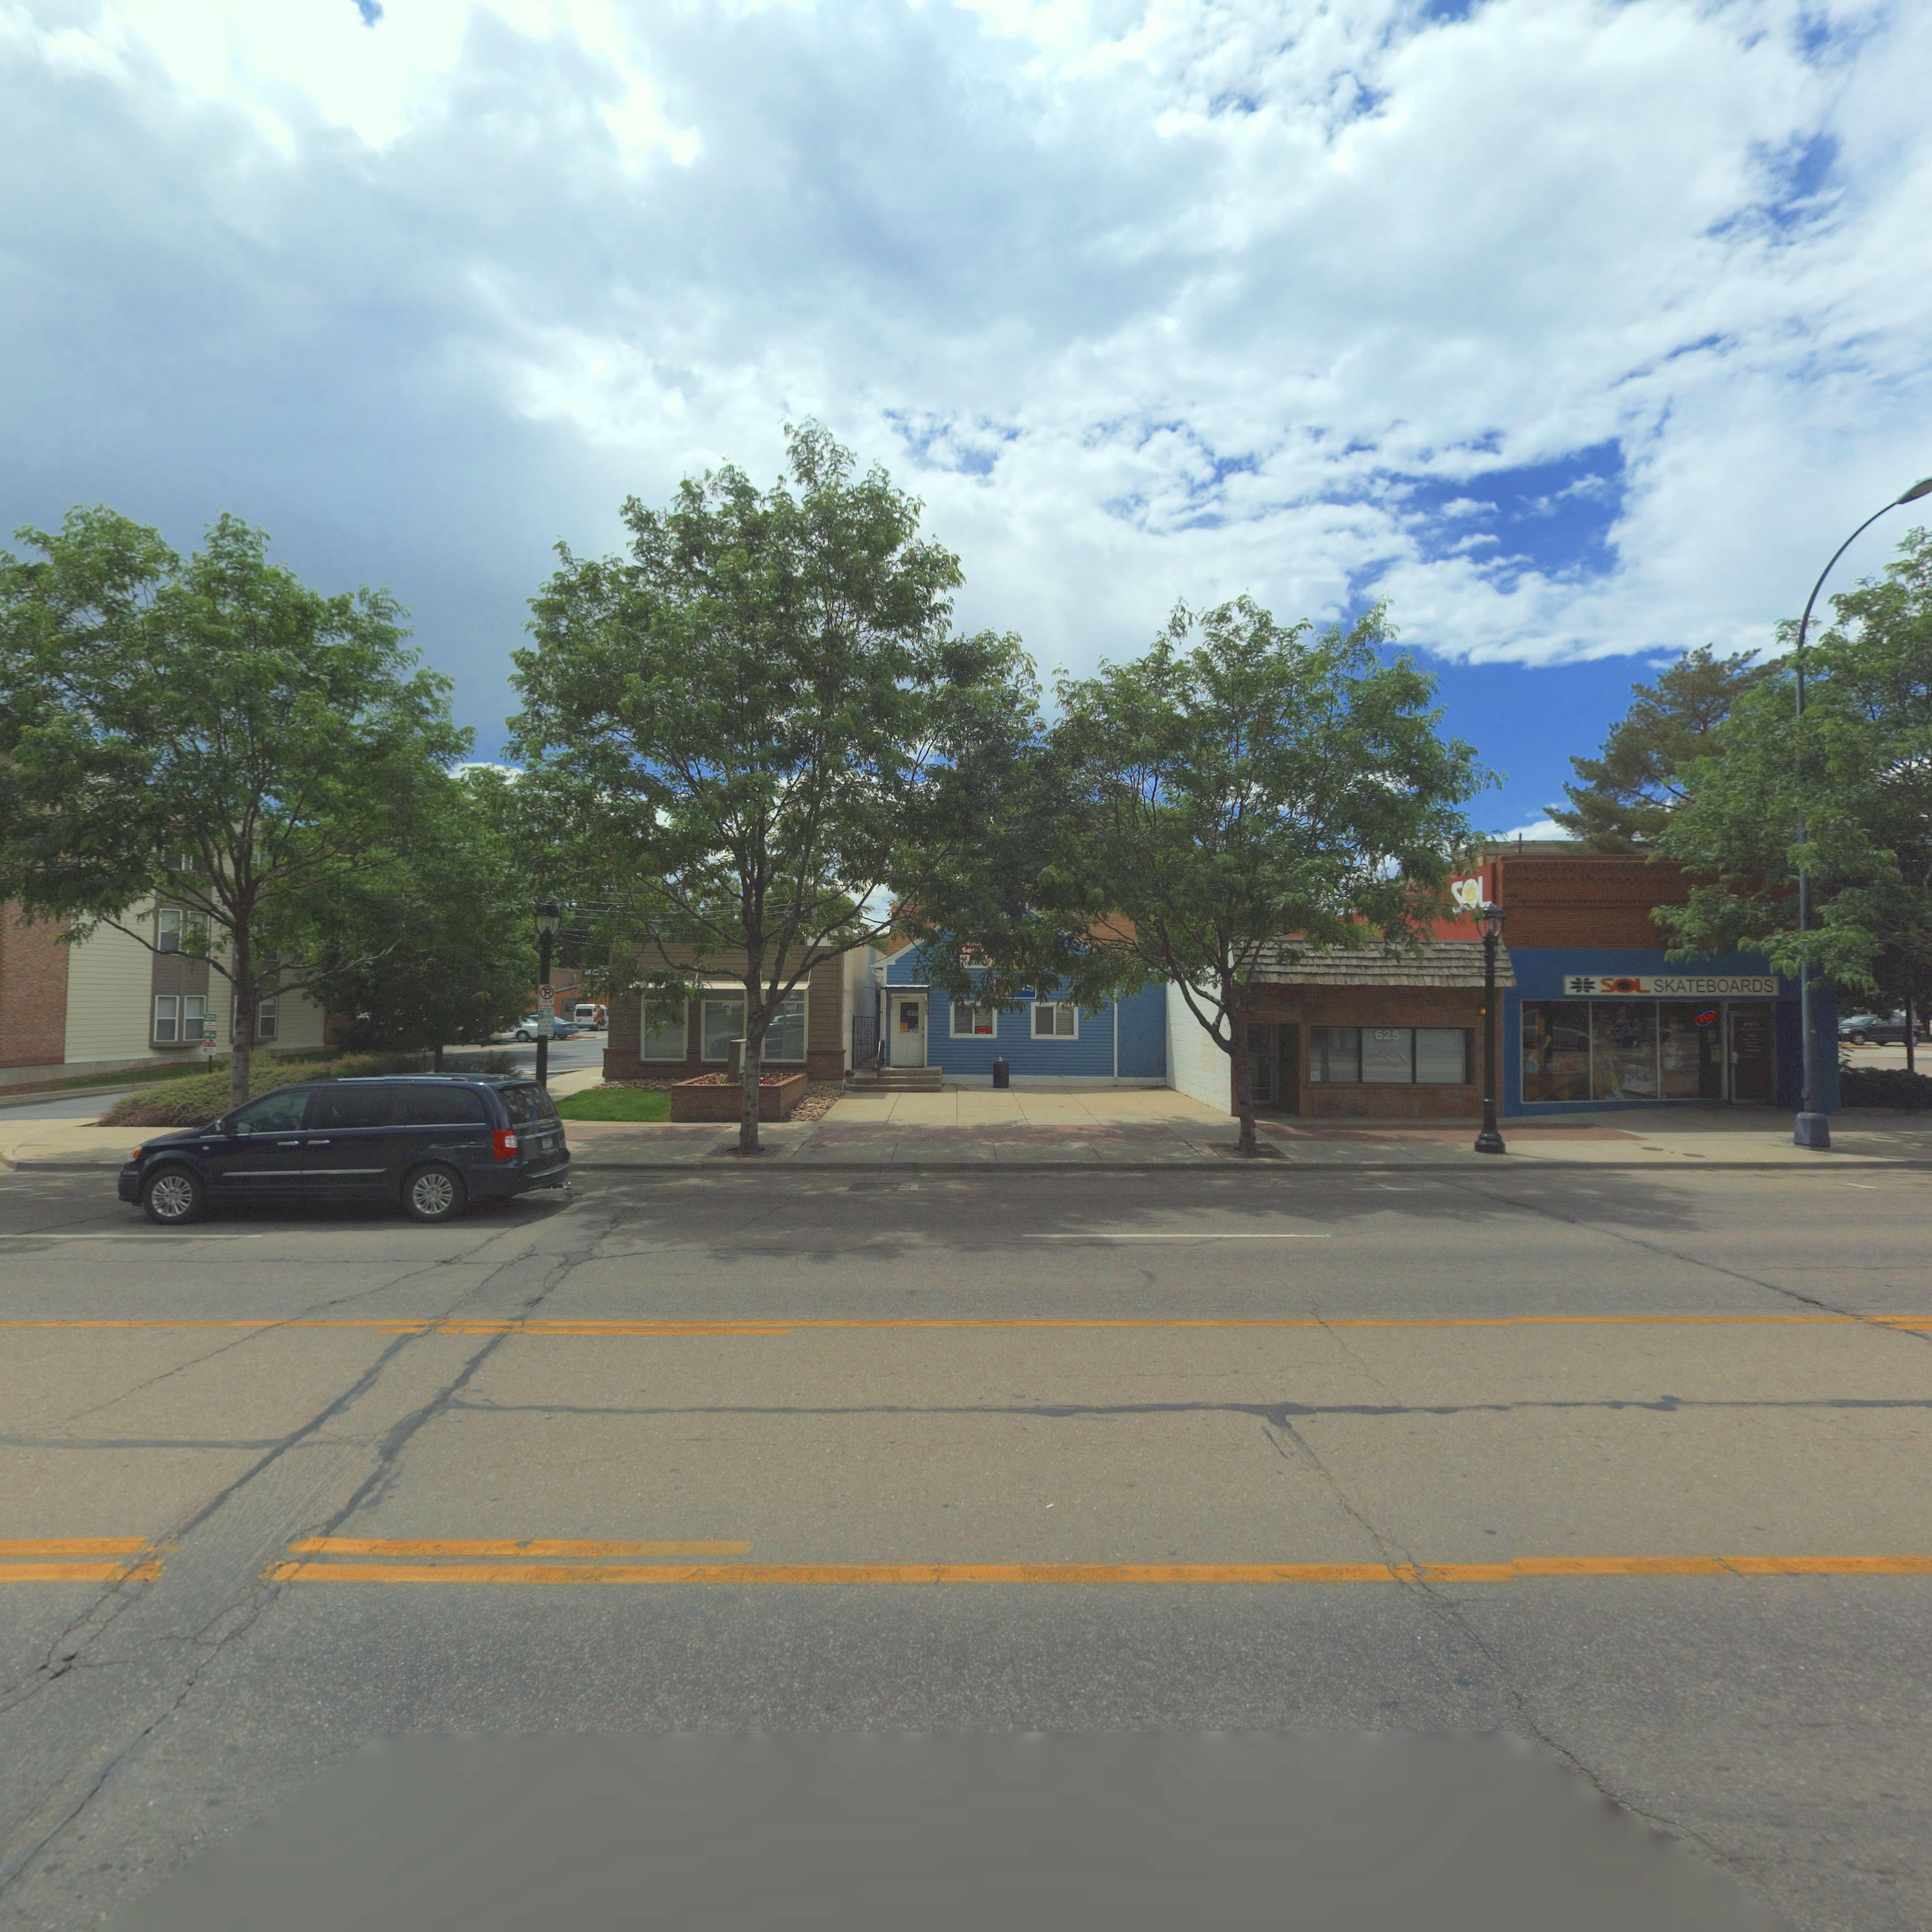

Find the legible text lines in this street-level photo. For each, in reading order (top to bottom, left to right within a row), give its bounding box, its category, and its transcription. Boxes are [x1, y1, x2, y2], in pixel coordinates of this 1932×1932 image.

[1599, 976, 1775, 994] BusinessName: SOL SKATEBOARDS
[923, 1000, 927, 1016] StreetNumber: 623
[1373, 1029, 1400, 1041] StreetNumber: 625